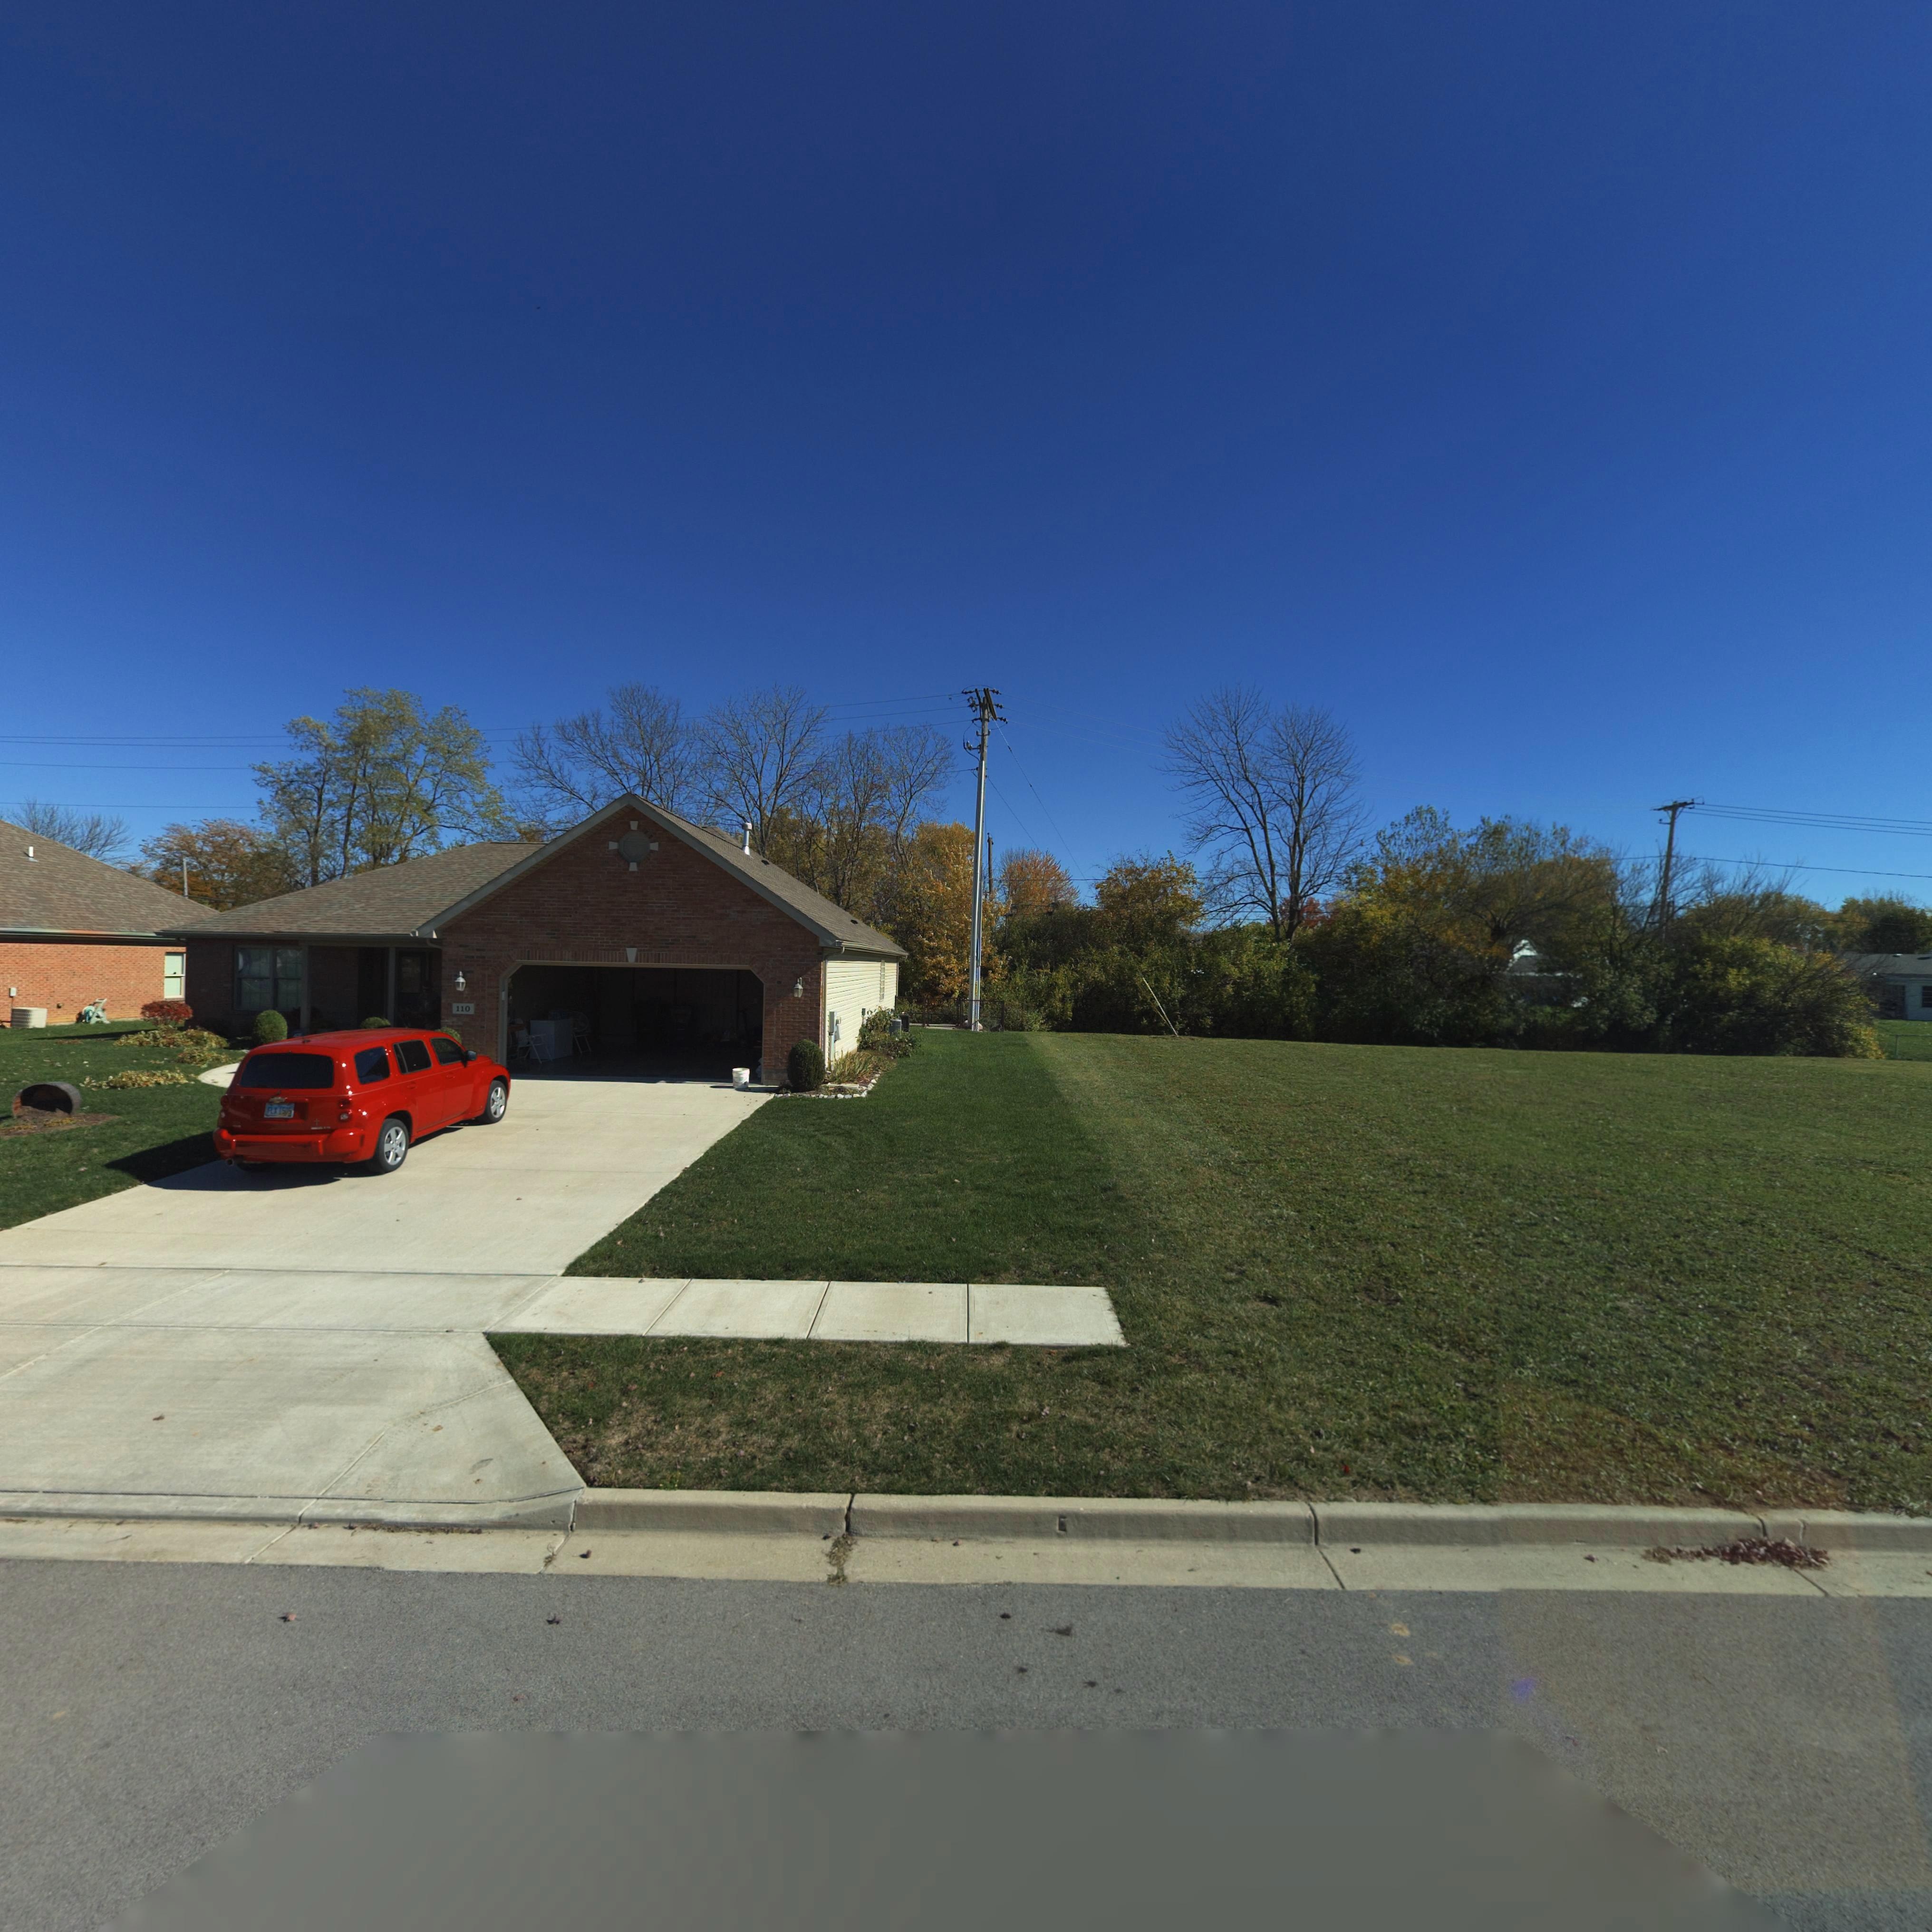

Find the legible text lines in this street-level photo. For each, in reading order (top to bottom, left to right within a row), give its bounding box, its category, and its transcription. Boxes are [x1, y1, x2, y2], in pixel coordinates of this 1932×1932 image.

[455, 1005, 472, 1013] StreetNumber: 110